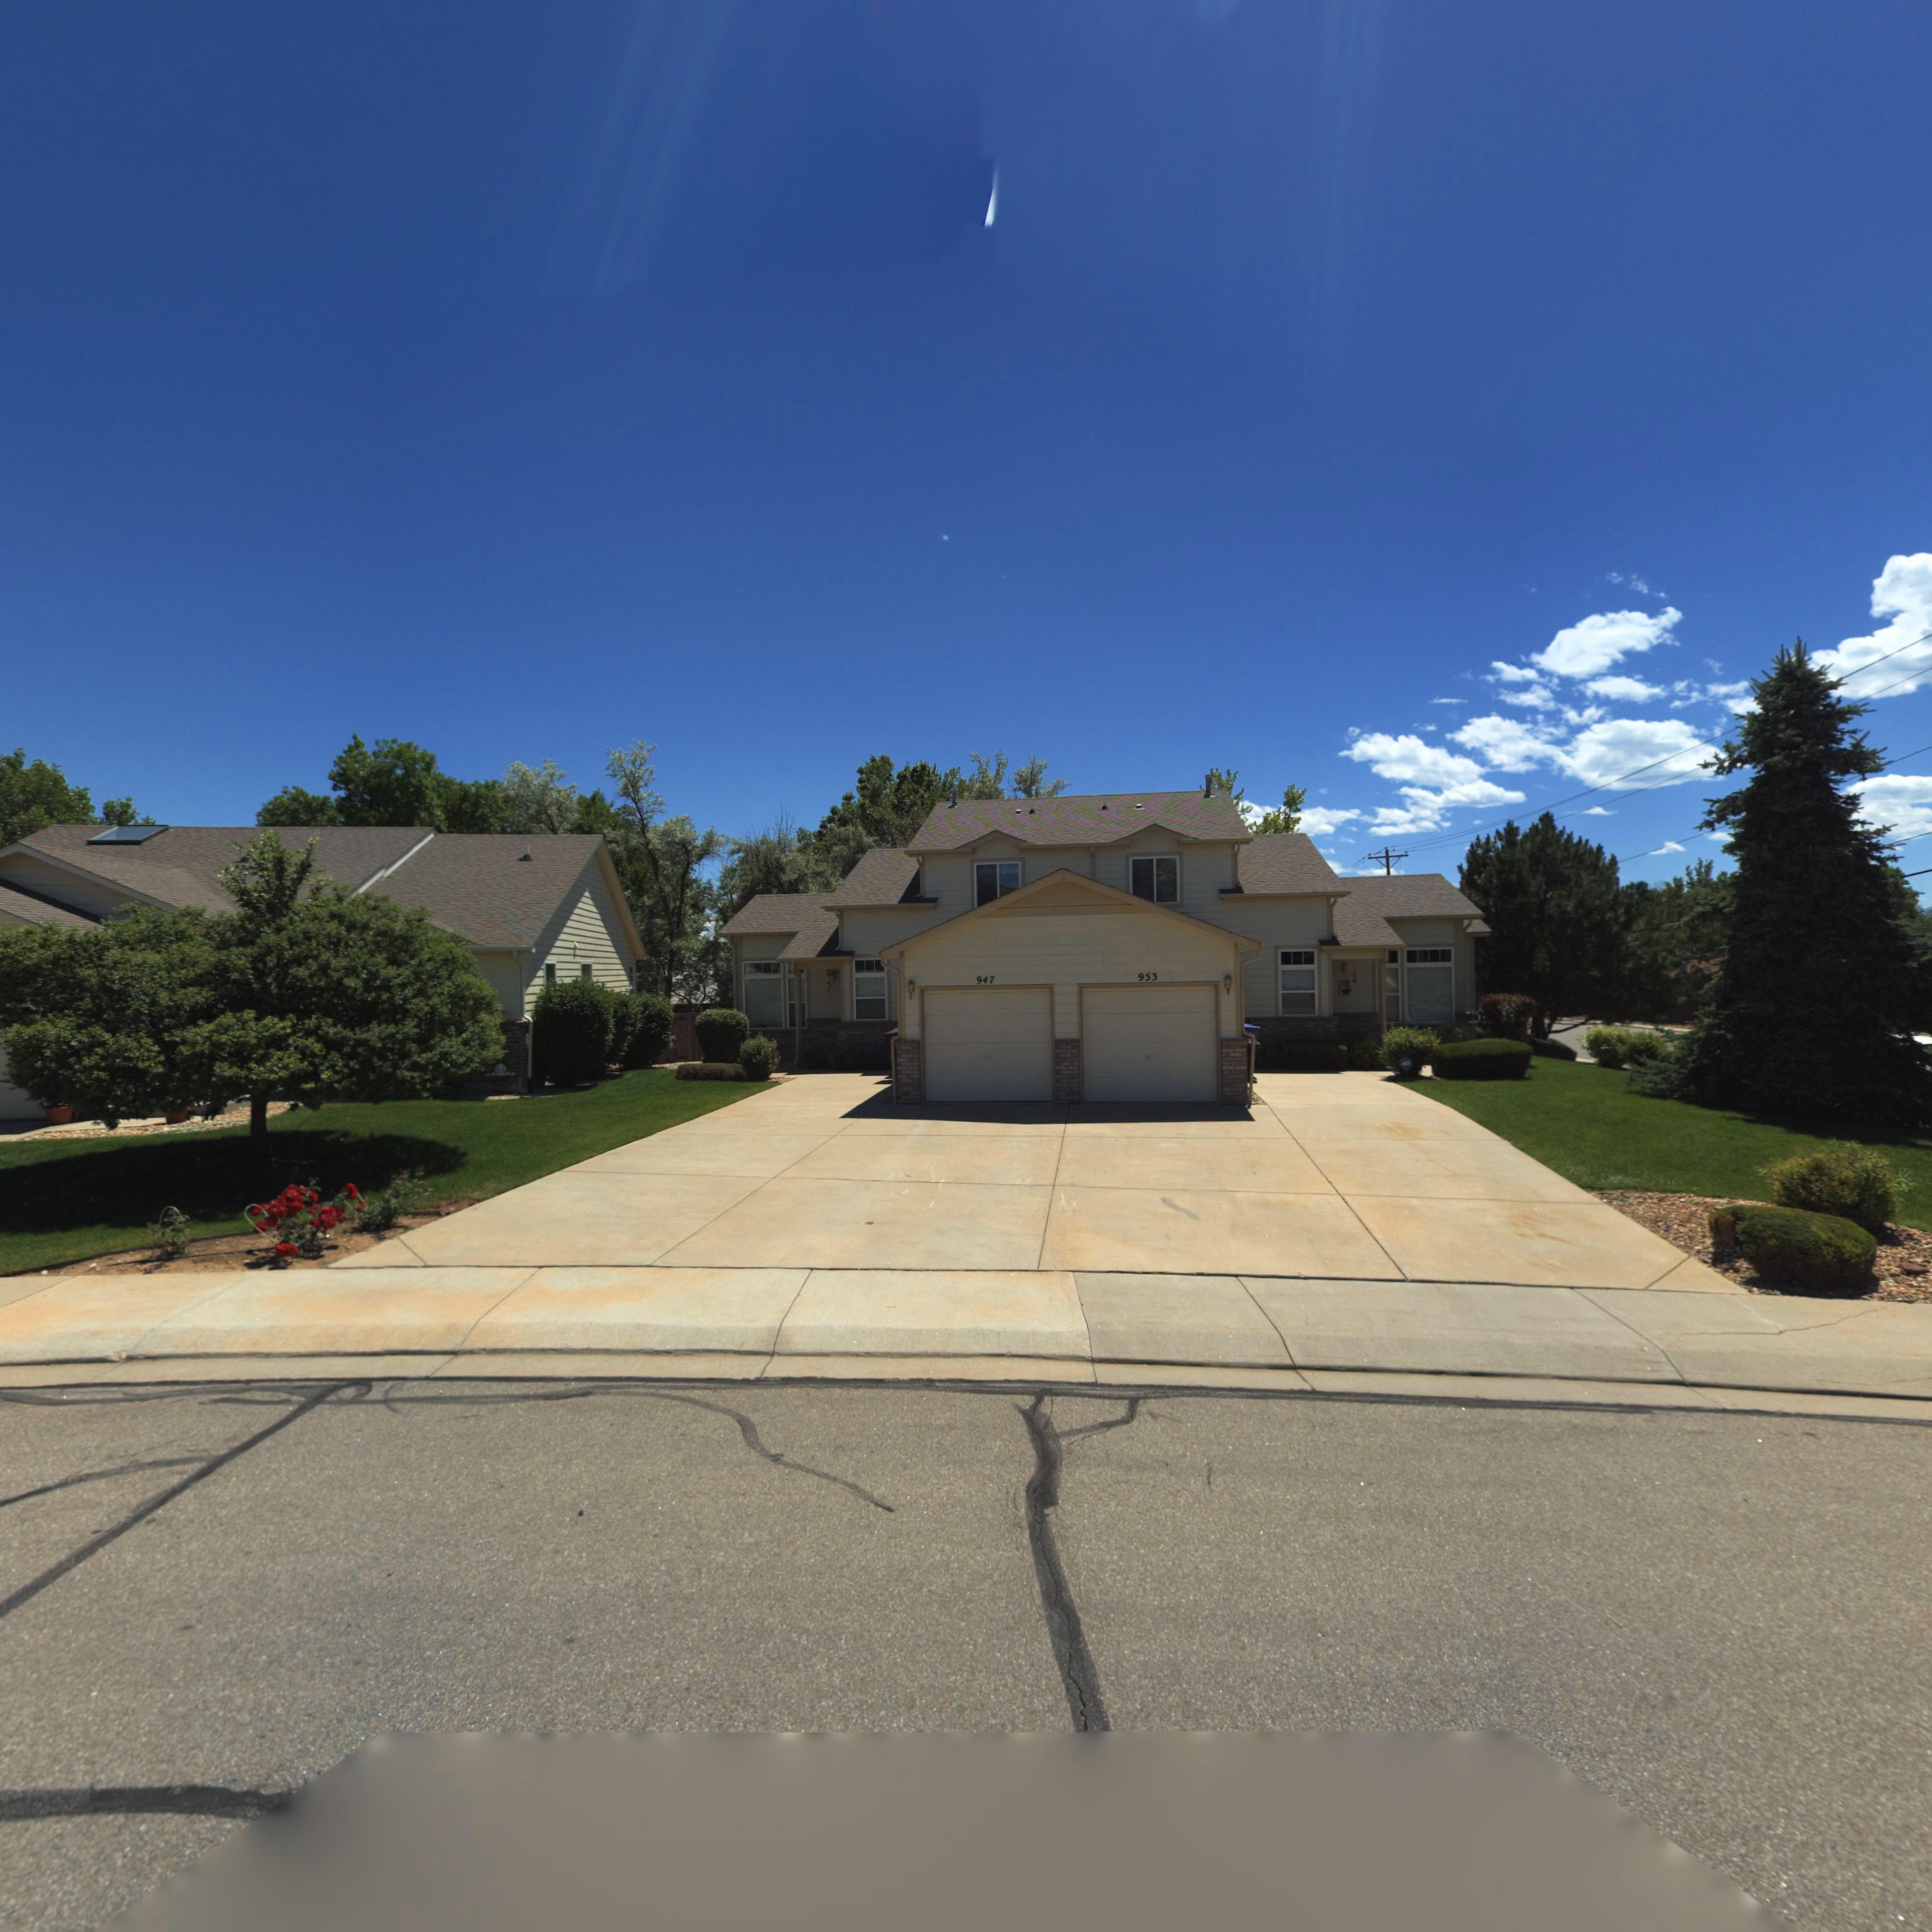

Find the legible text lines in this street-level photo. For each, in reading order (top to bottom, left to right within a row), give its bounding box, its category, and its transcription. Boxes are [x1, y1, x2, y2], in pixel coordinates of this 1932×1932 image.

[976, 976, 995, 984] StreetNumber: 947
[1138, 972, 1157, 981] BusinessName: 953